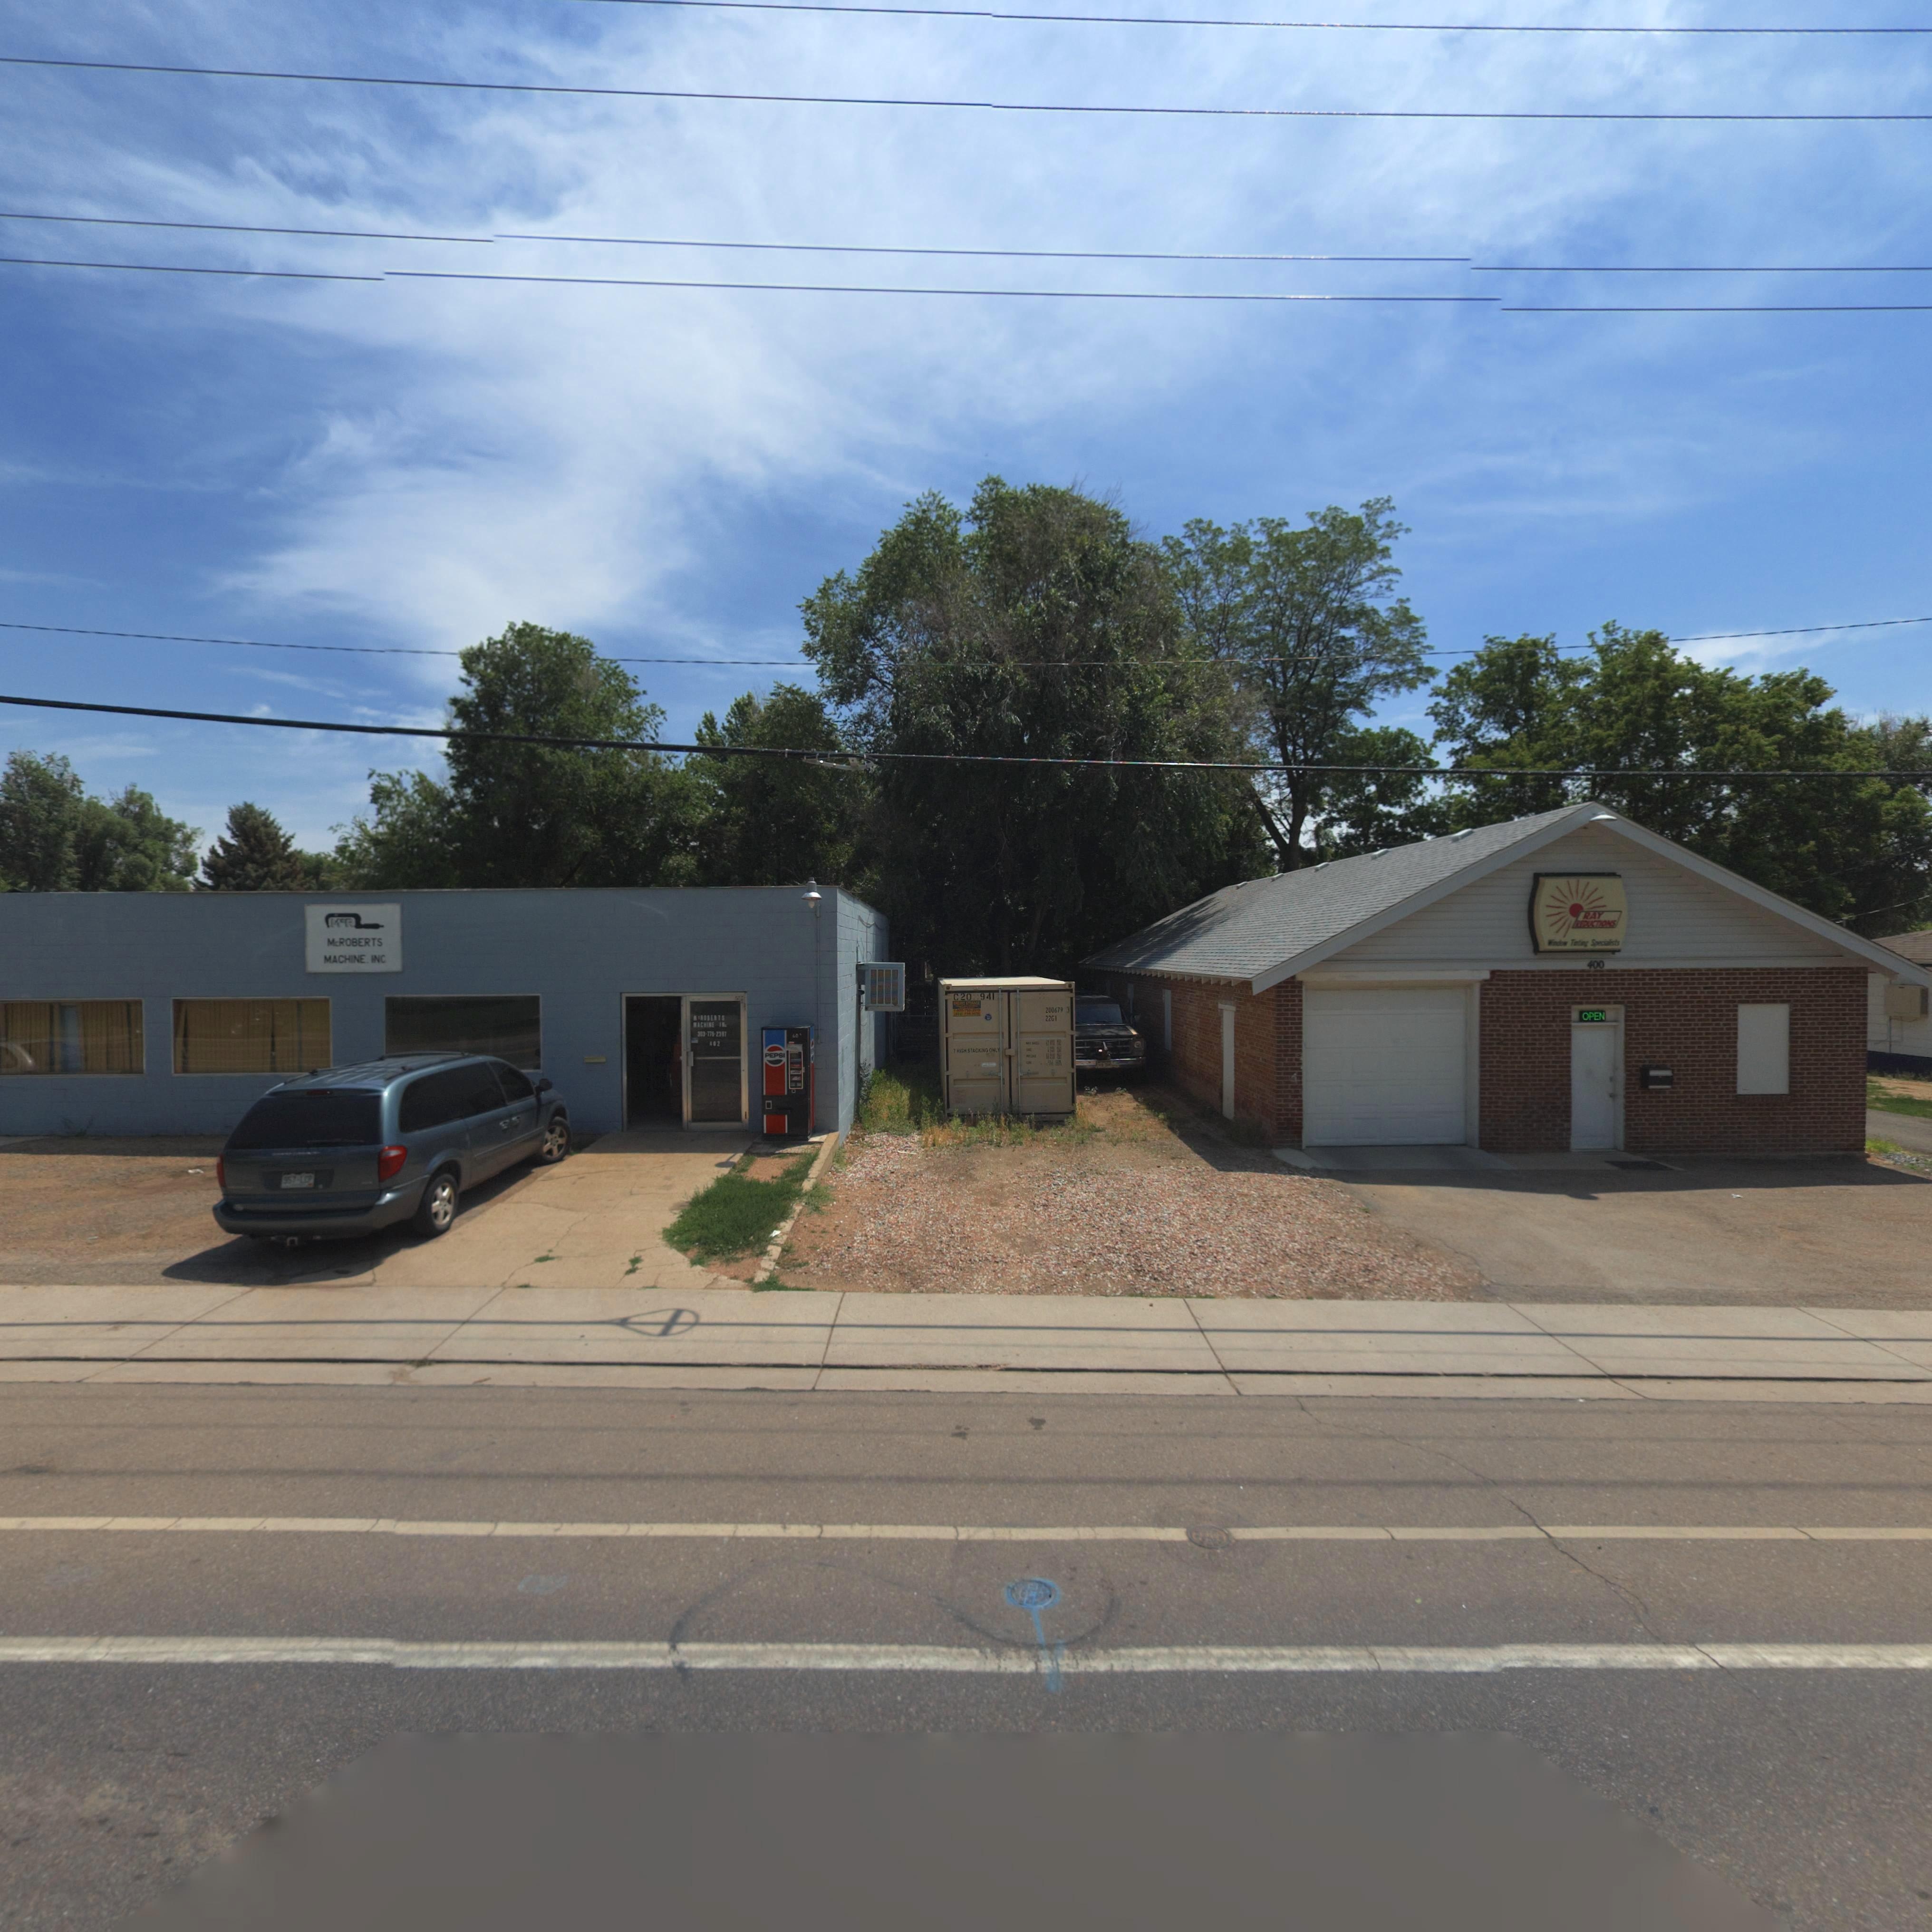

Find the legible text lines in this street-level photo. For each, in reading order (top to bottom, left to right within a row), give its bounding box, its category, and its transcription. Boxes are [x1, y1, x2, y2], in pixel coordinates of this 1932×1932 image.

[1582, 912, 1604, 920] BusinessName: RAY 
[1574, 919, 1617, 927] BusinessName: REDUCTIONS 
[327, 937, 382, 947] BusinessName: McROBERTS
[323, 954, 386, 964] BusinessName: MACHINE, INC
[1587, 959, 1604, 969] StreetNumber: 400
[693, 1015, 724, 1021] BusinessName: **ROBERTS
[693, 1022, 726, 1027] BusinessName: MACHINE IN*
[709, 1041, 720, 1046] StreetNumber: 402